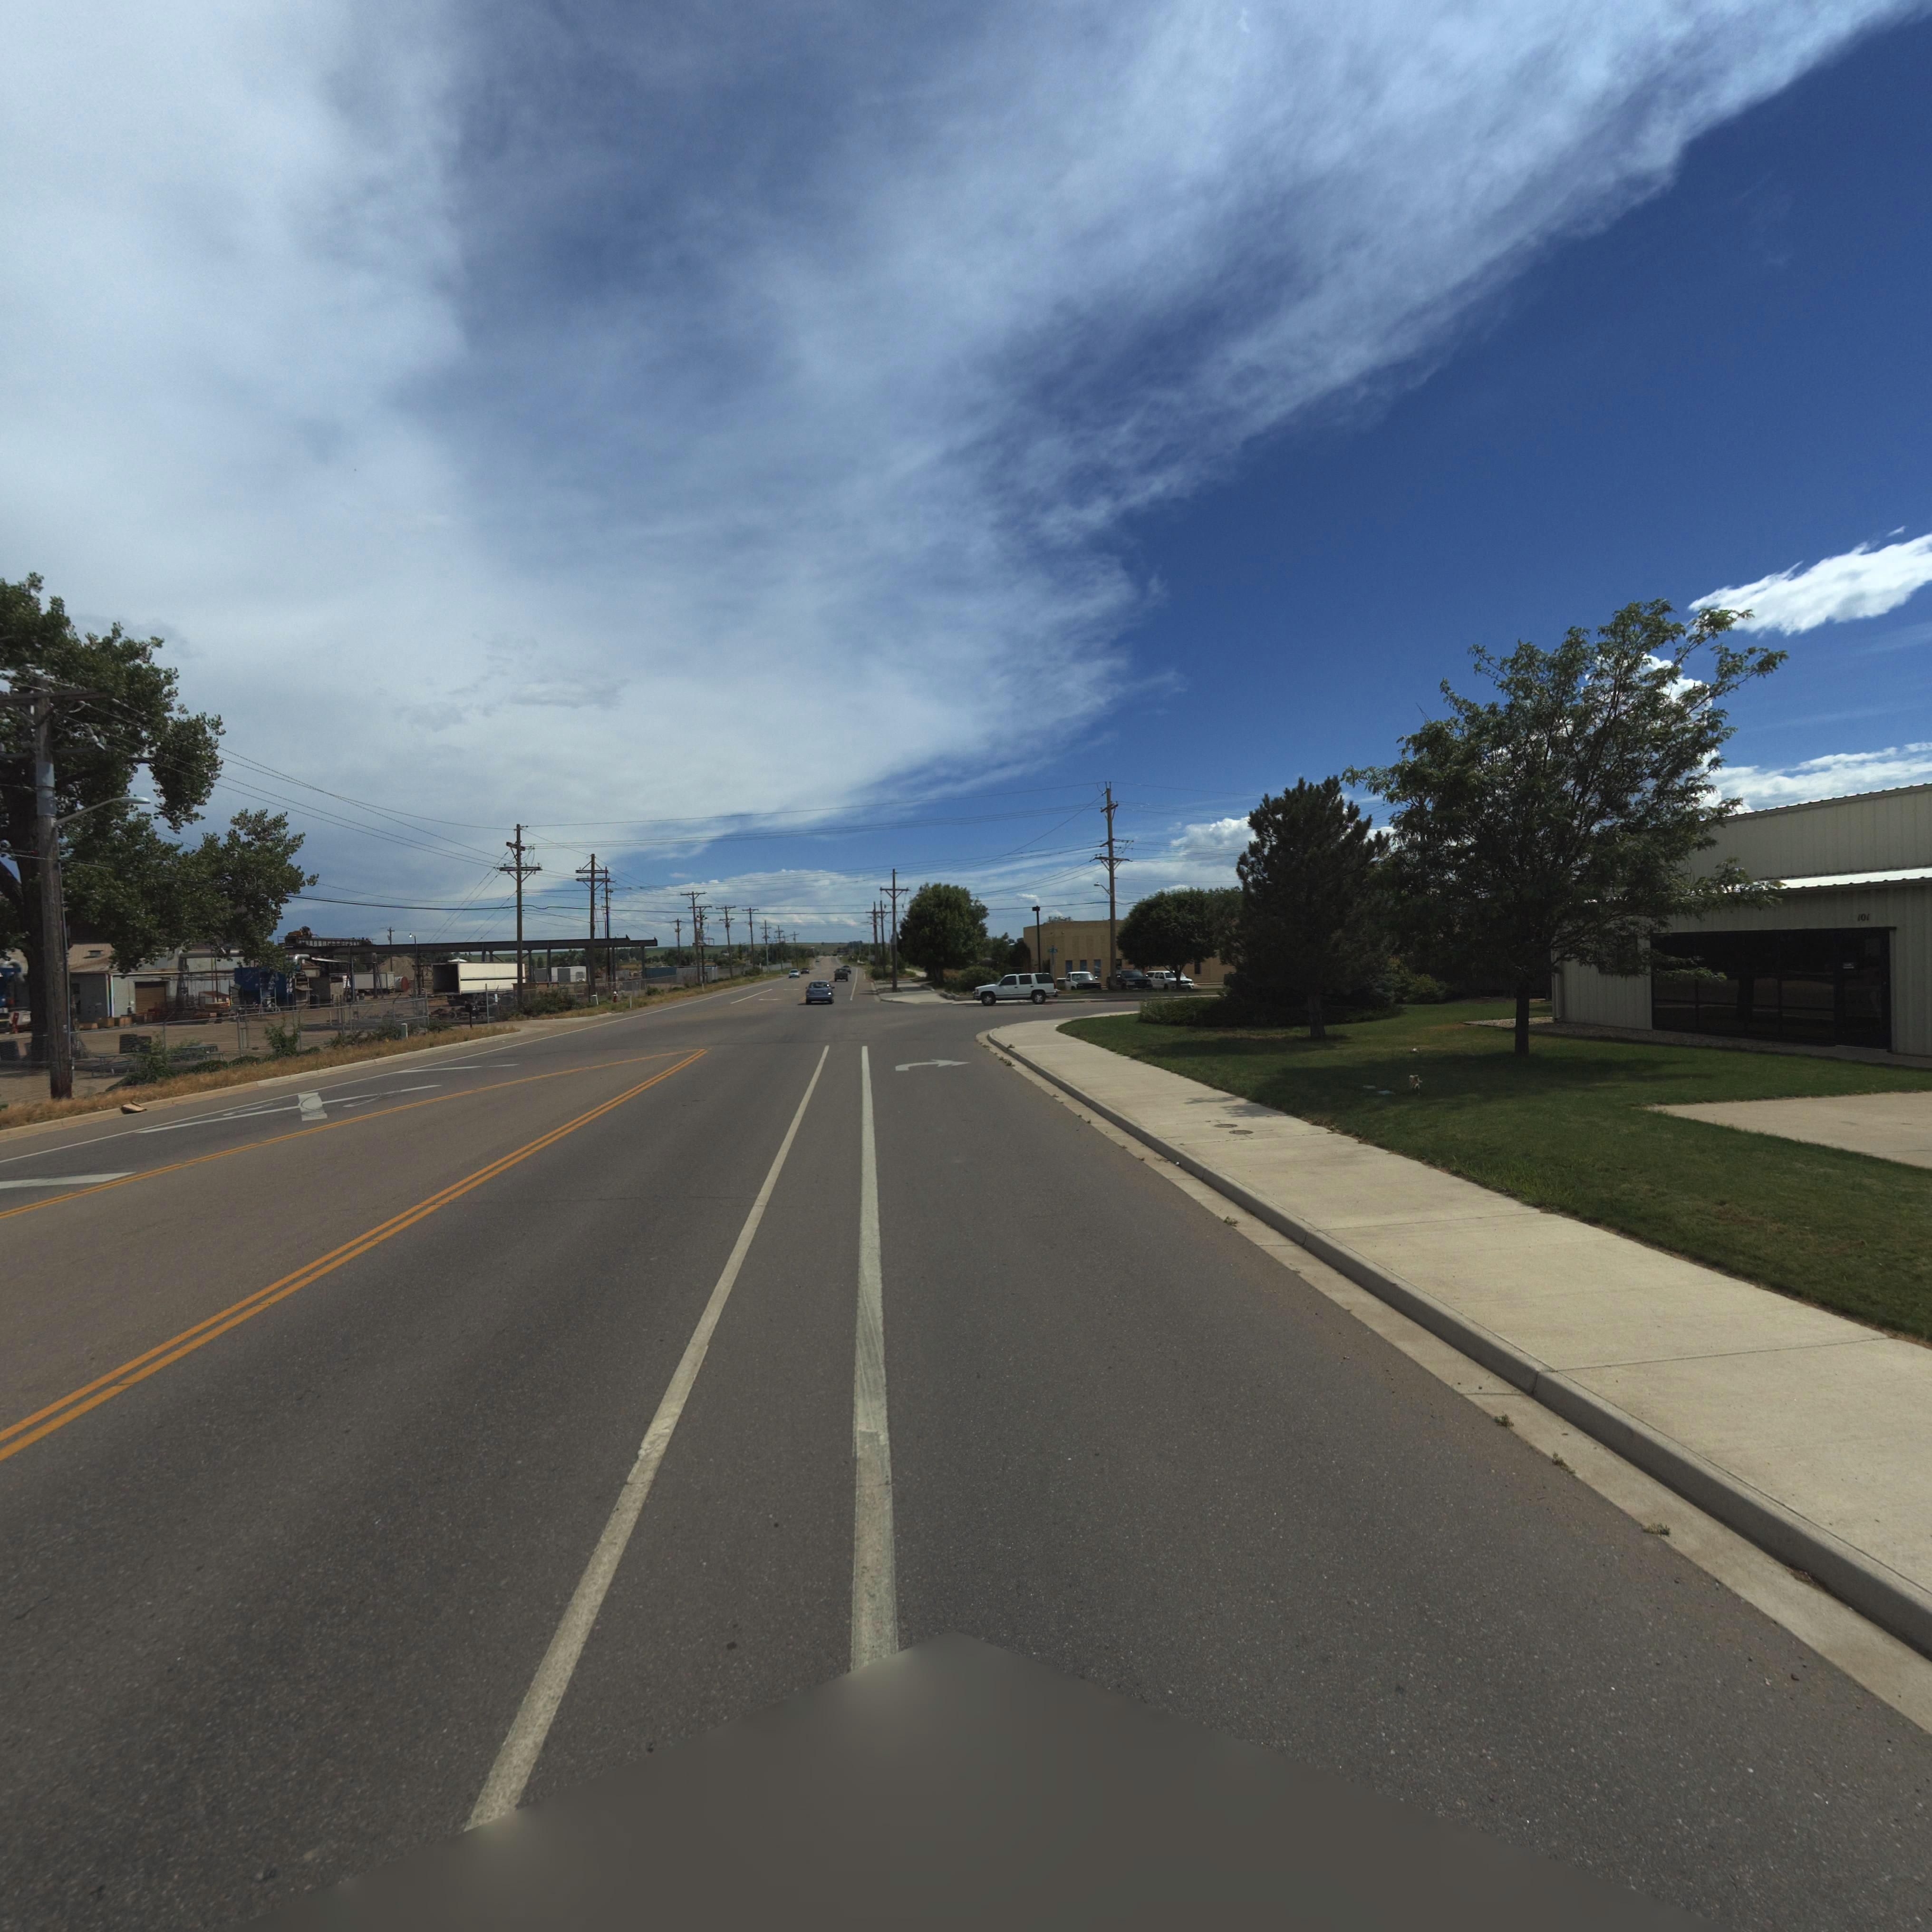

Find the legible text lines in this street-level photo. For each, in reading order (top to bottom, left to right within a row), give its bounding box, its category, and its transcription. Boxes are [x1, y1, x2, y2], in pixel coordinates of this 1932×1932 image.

[1856, 913, 1871, 922] StreetNumber: 101